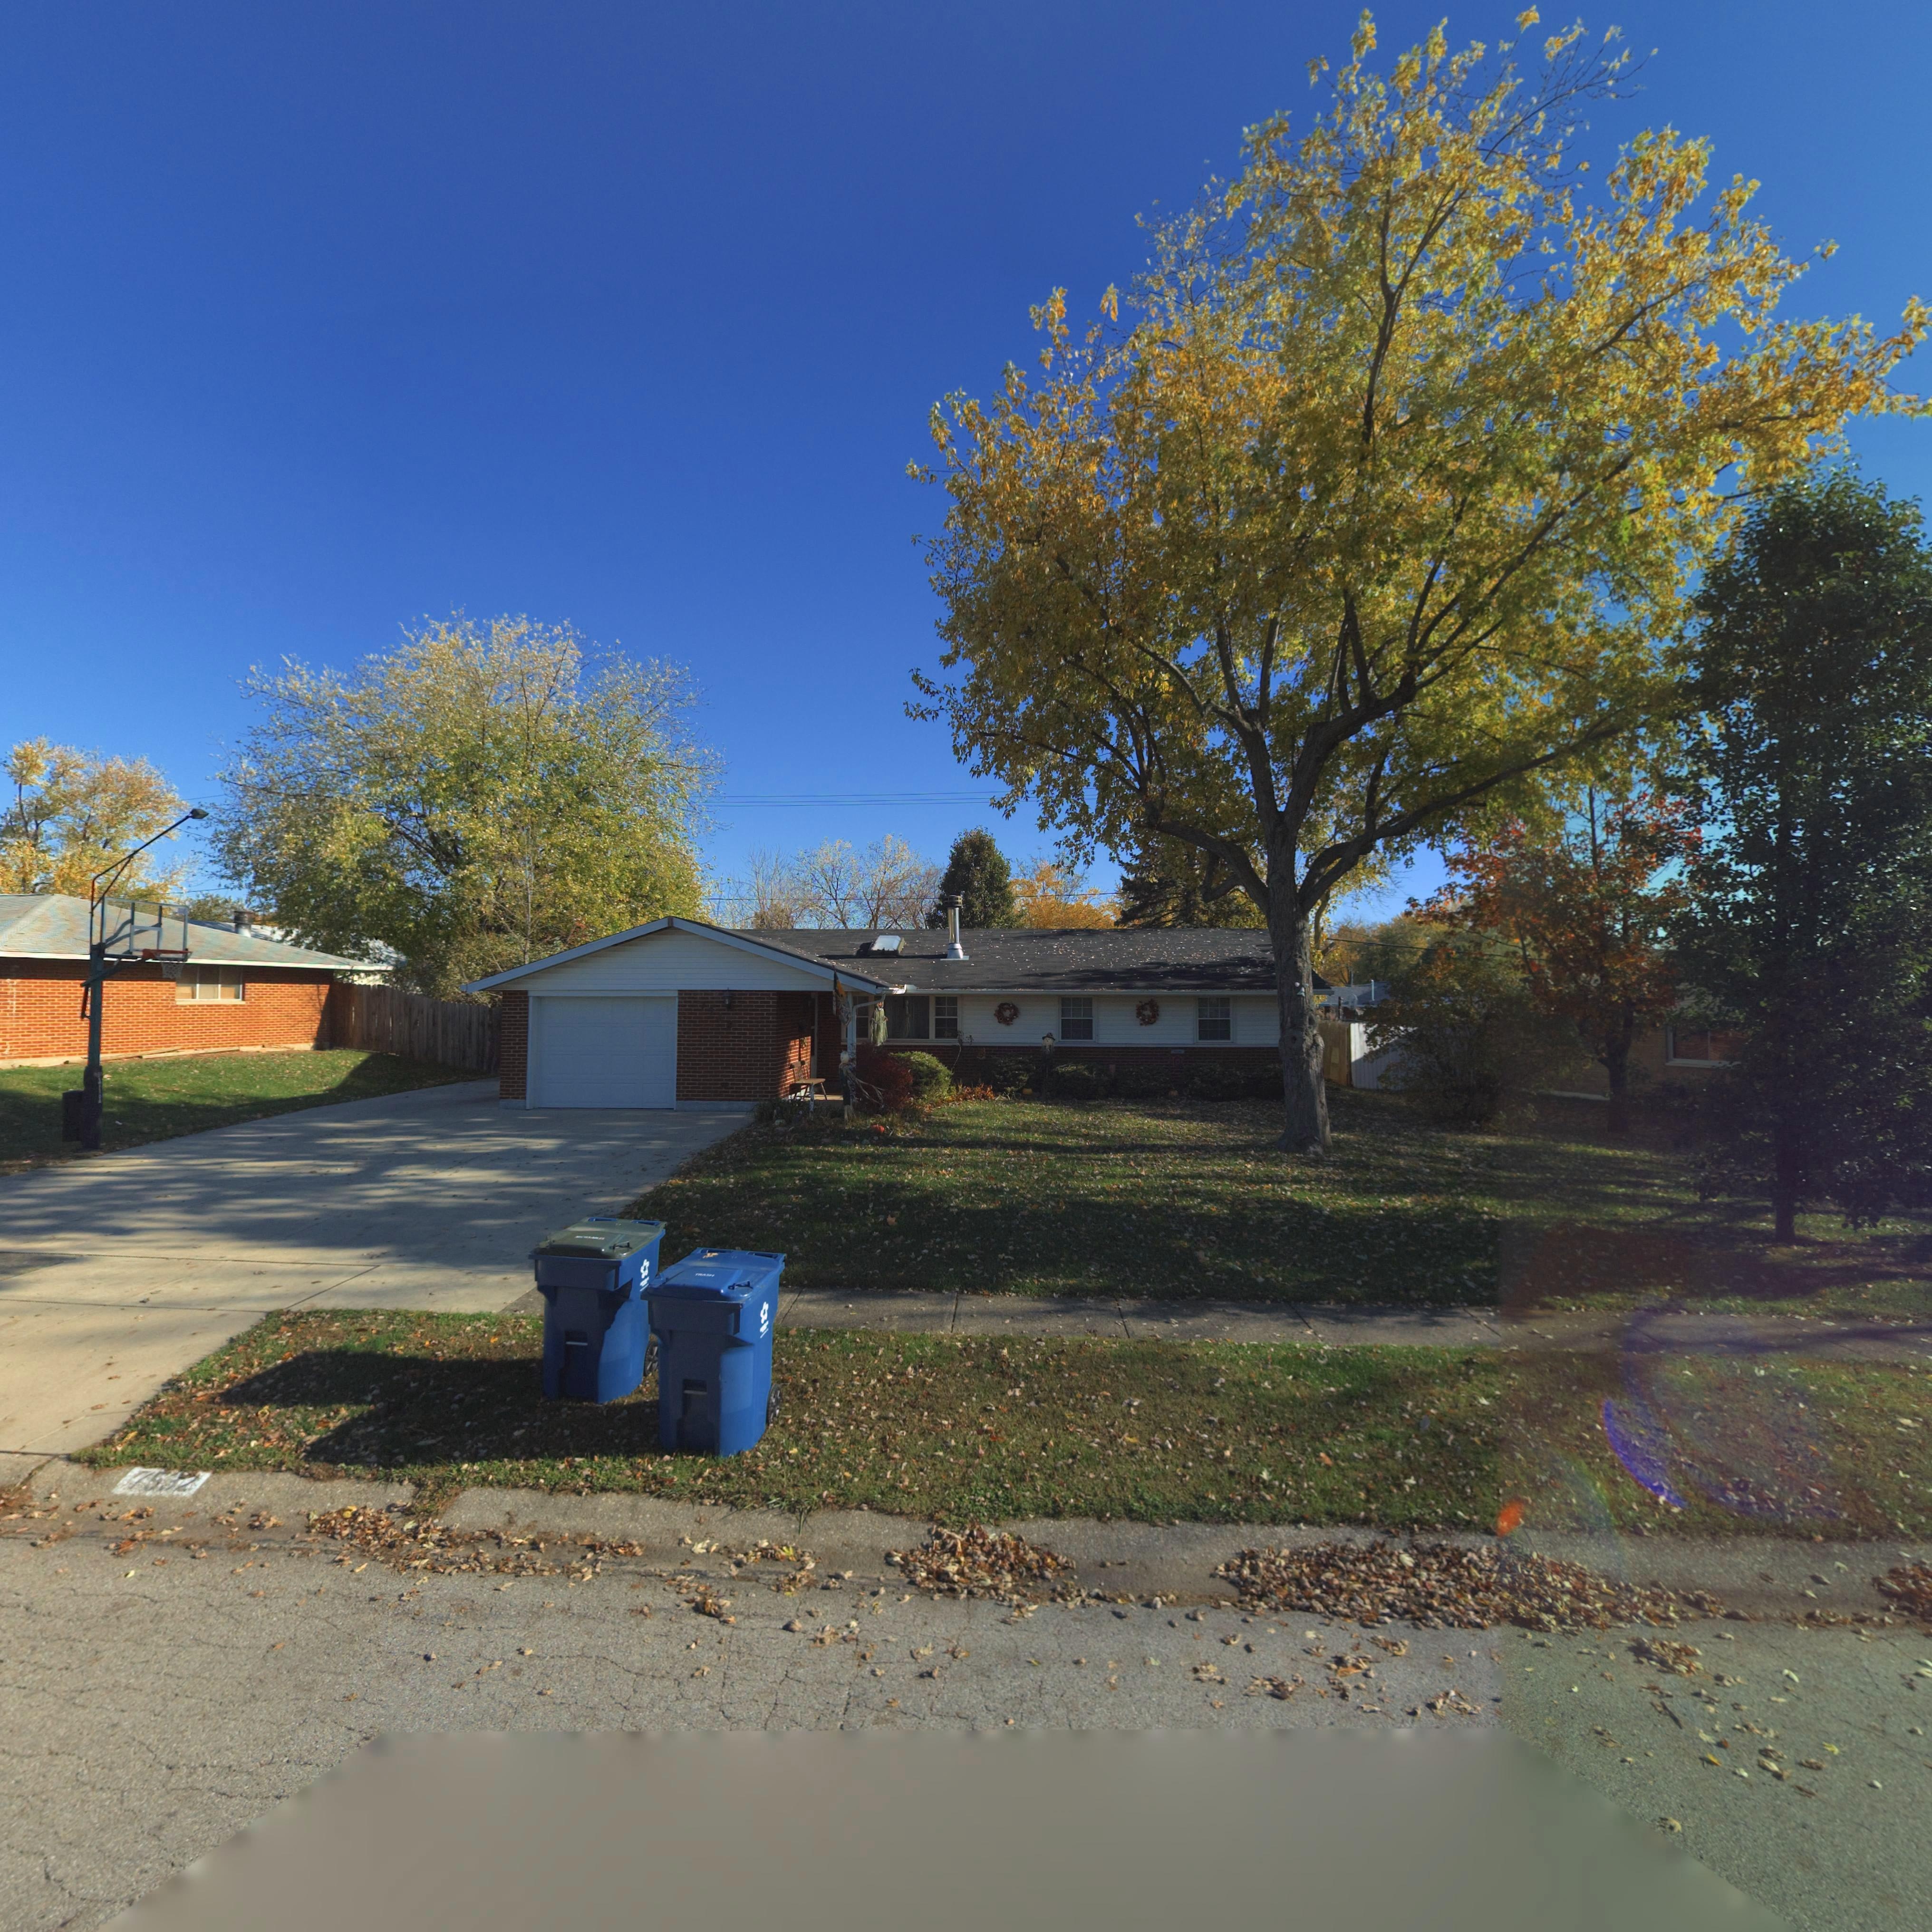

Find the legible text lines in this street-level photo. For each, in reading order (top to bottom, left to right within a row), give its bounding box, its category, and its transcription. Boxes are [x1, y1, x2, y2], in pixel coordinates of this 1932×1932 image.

[125, 1468, 202, 1495] StreetNumber: 75**